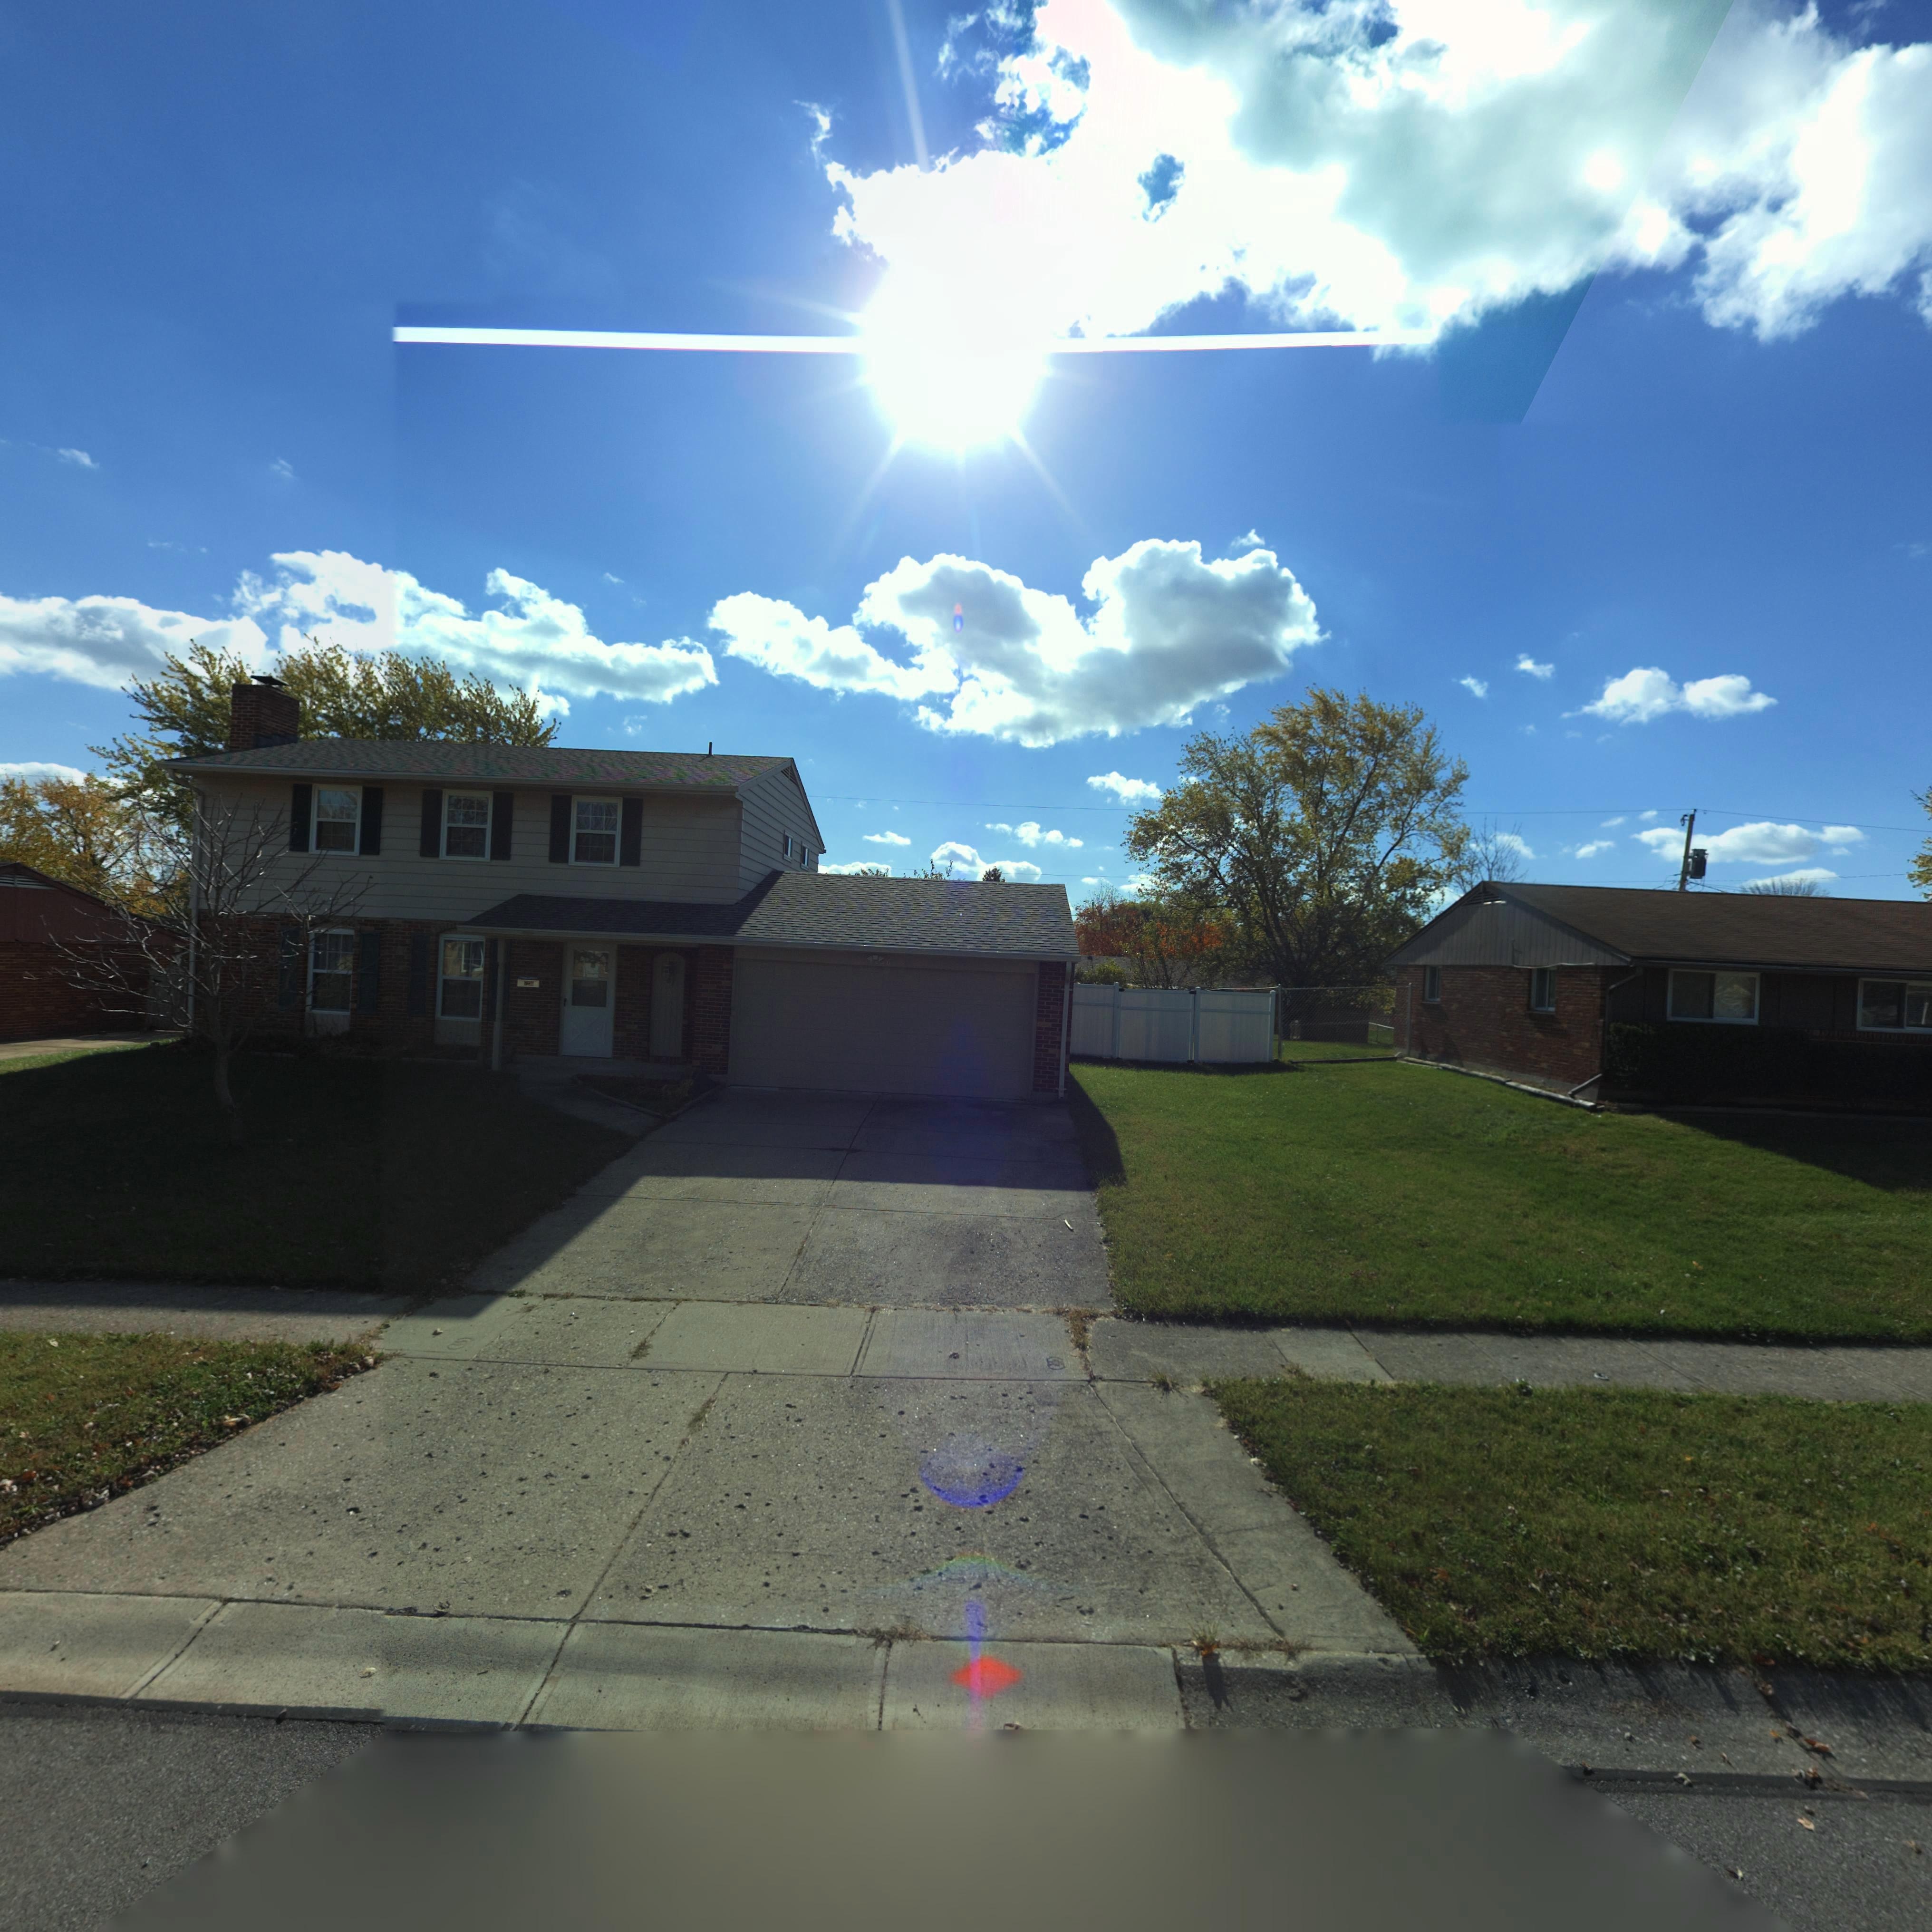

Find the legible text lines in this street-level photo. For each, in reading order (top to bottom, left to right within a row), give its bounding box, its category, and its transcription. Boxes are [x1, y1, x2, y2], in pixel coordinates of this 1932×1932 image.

[885, 958, 891, 966] StreetNumber: 6